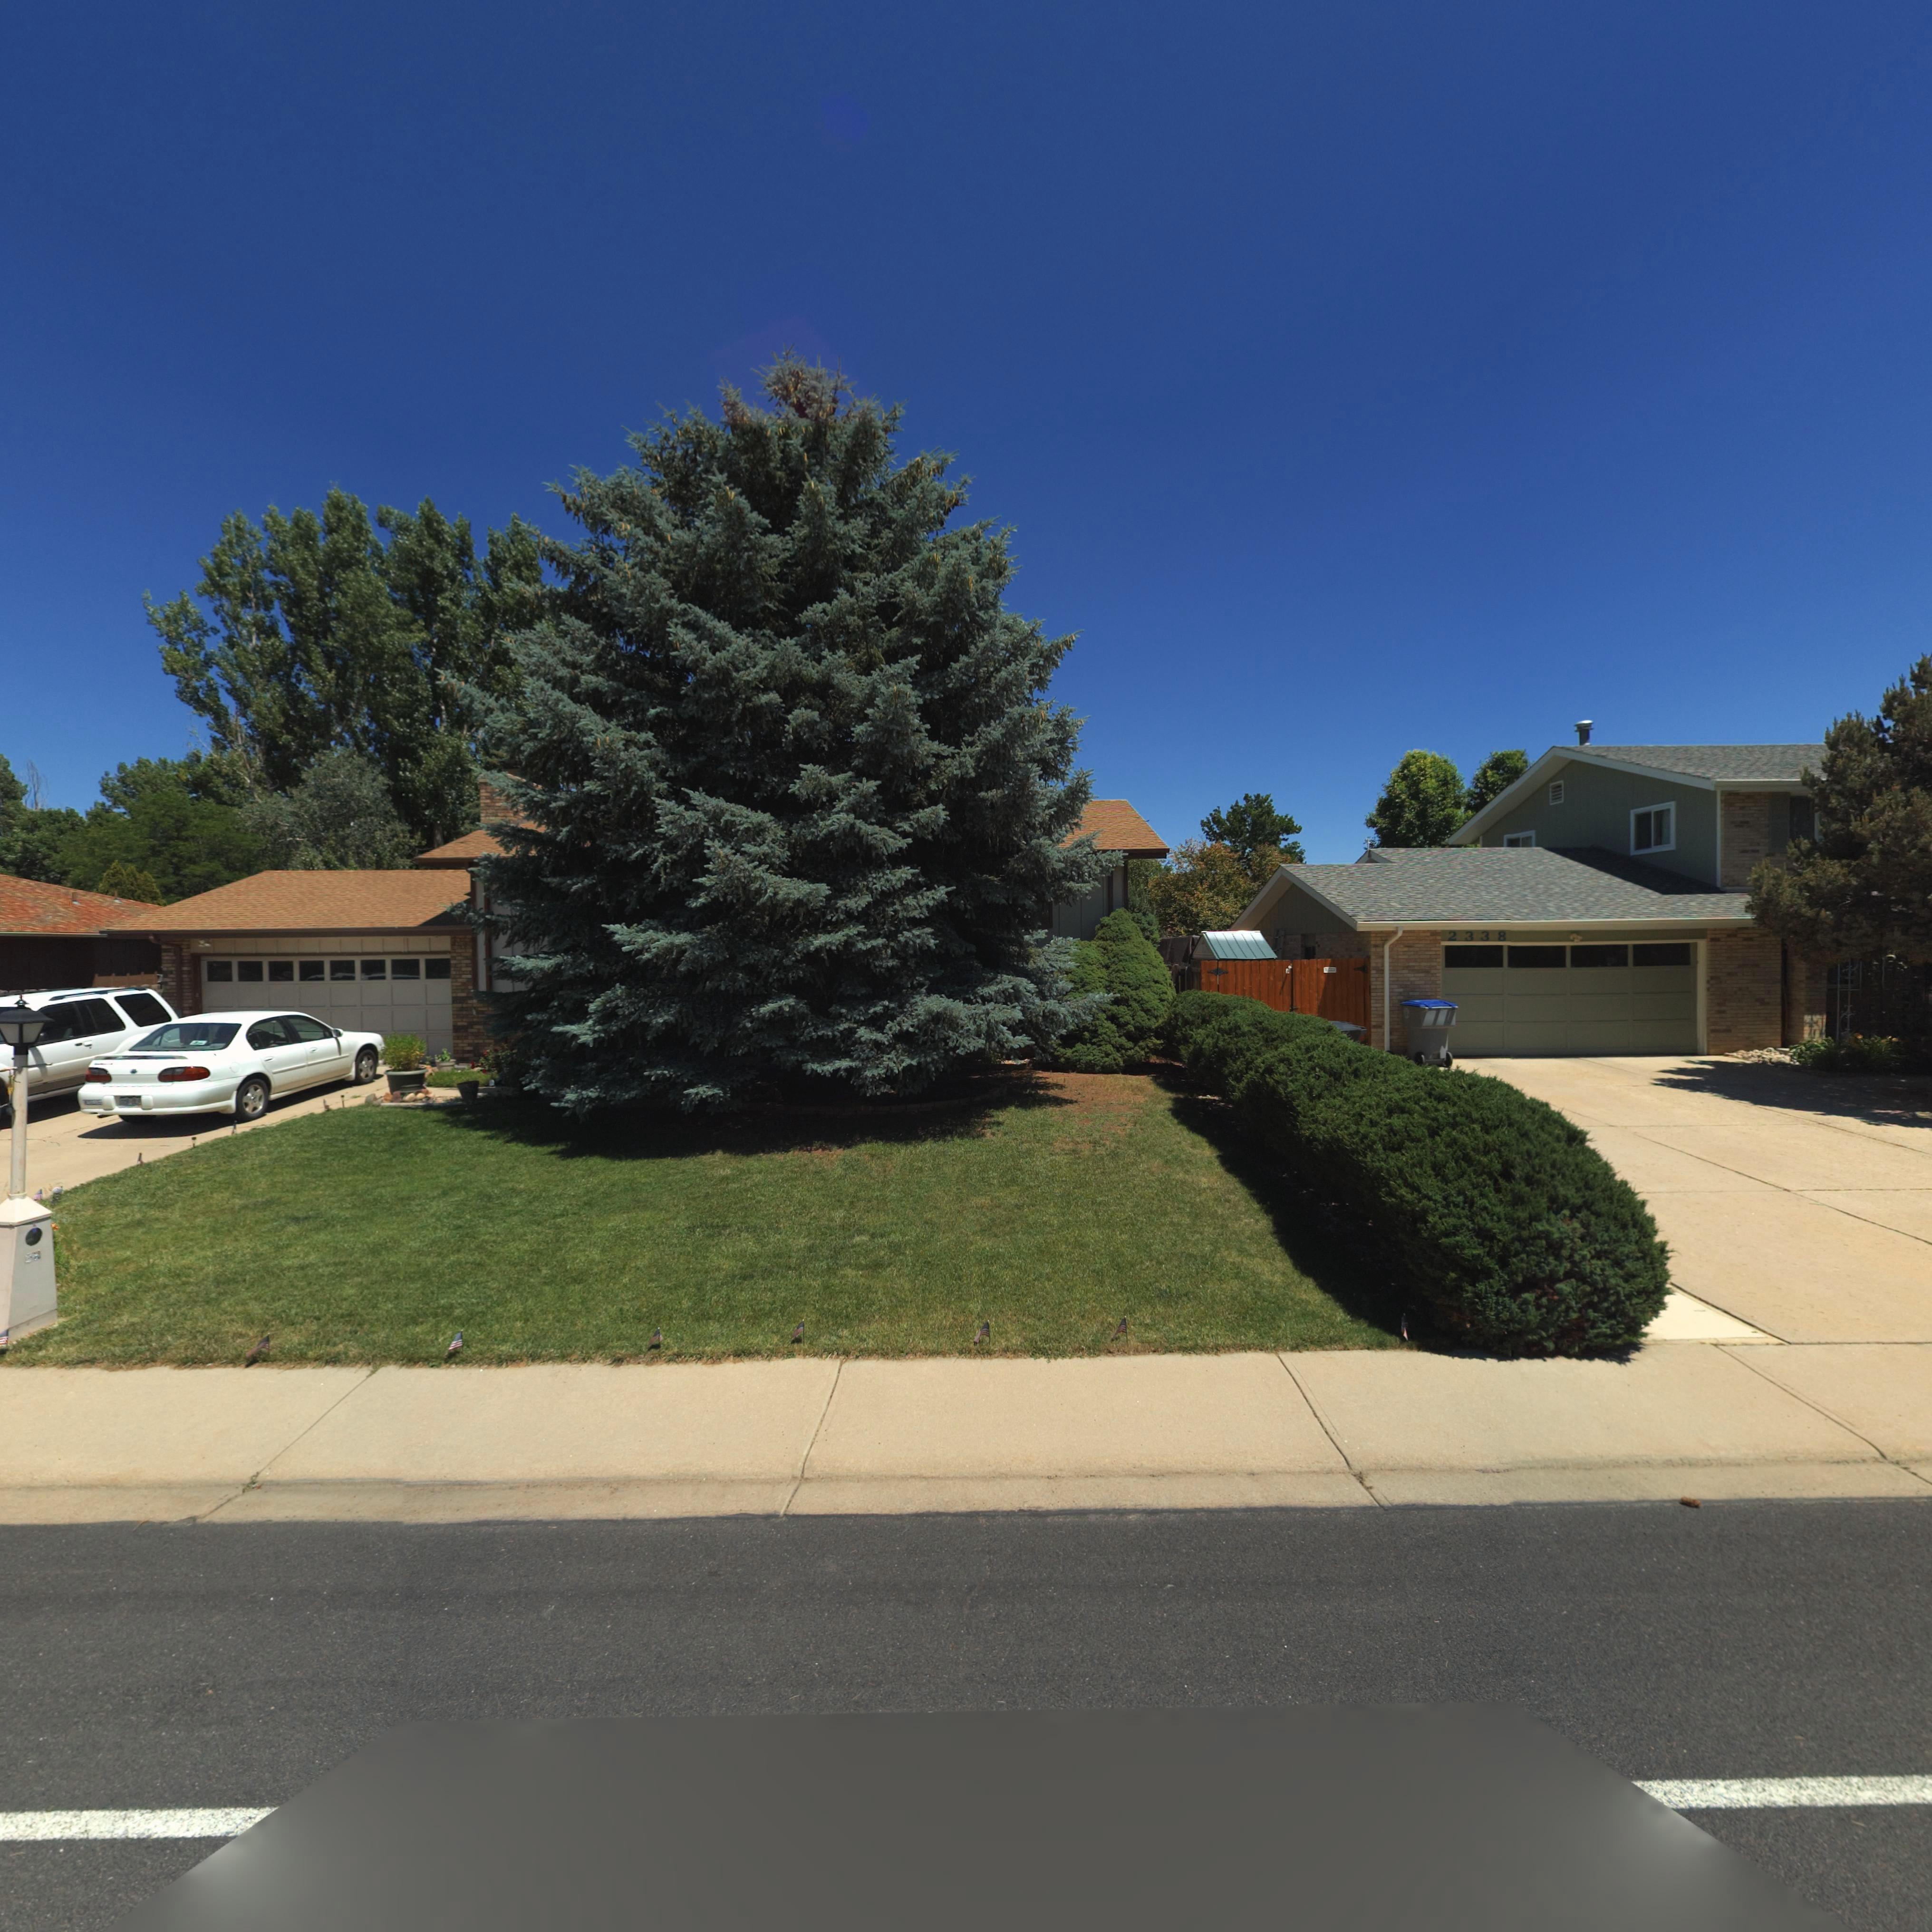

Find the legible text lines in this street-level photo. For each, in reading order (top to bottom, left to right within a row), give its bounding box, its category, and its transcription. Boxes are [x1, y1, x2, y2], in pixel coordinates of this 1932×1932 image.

[1448, 931, 1507, 941] StreetNumber: 2338